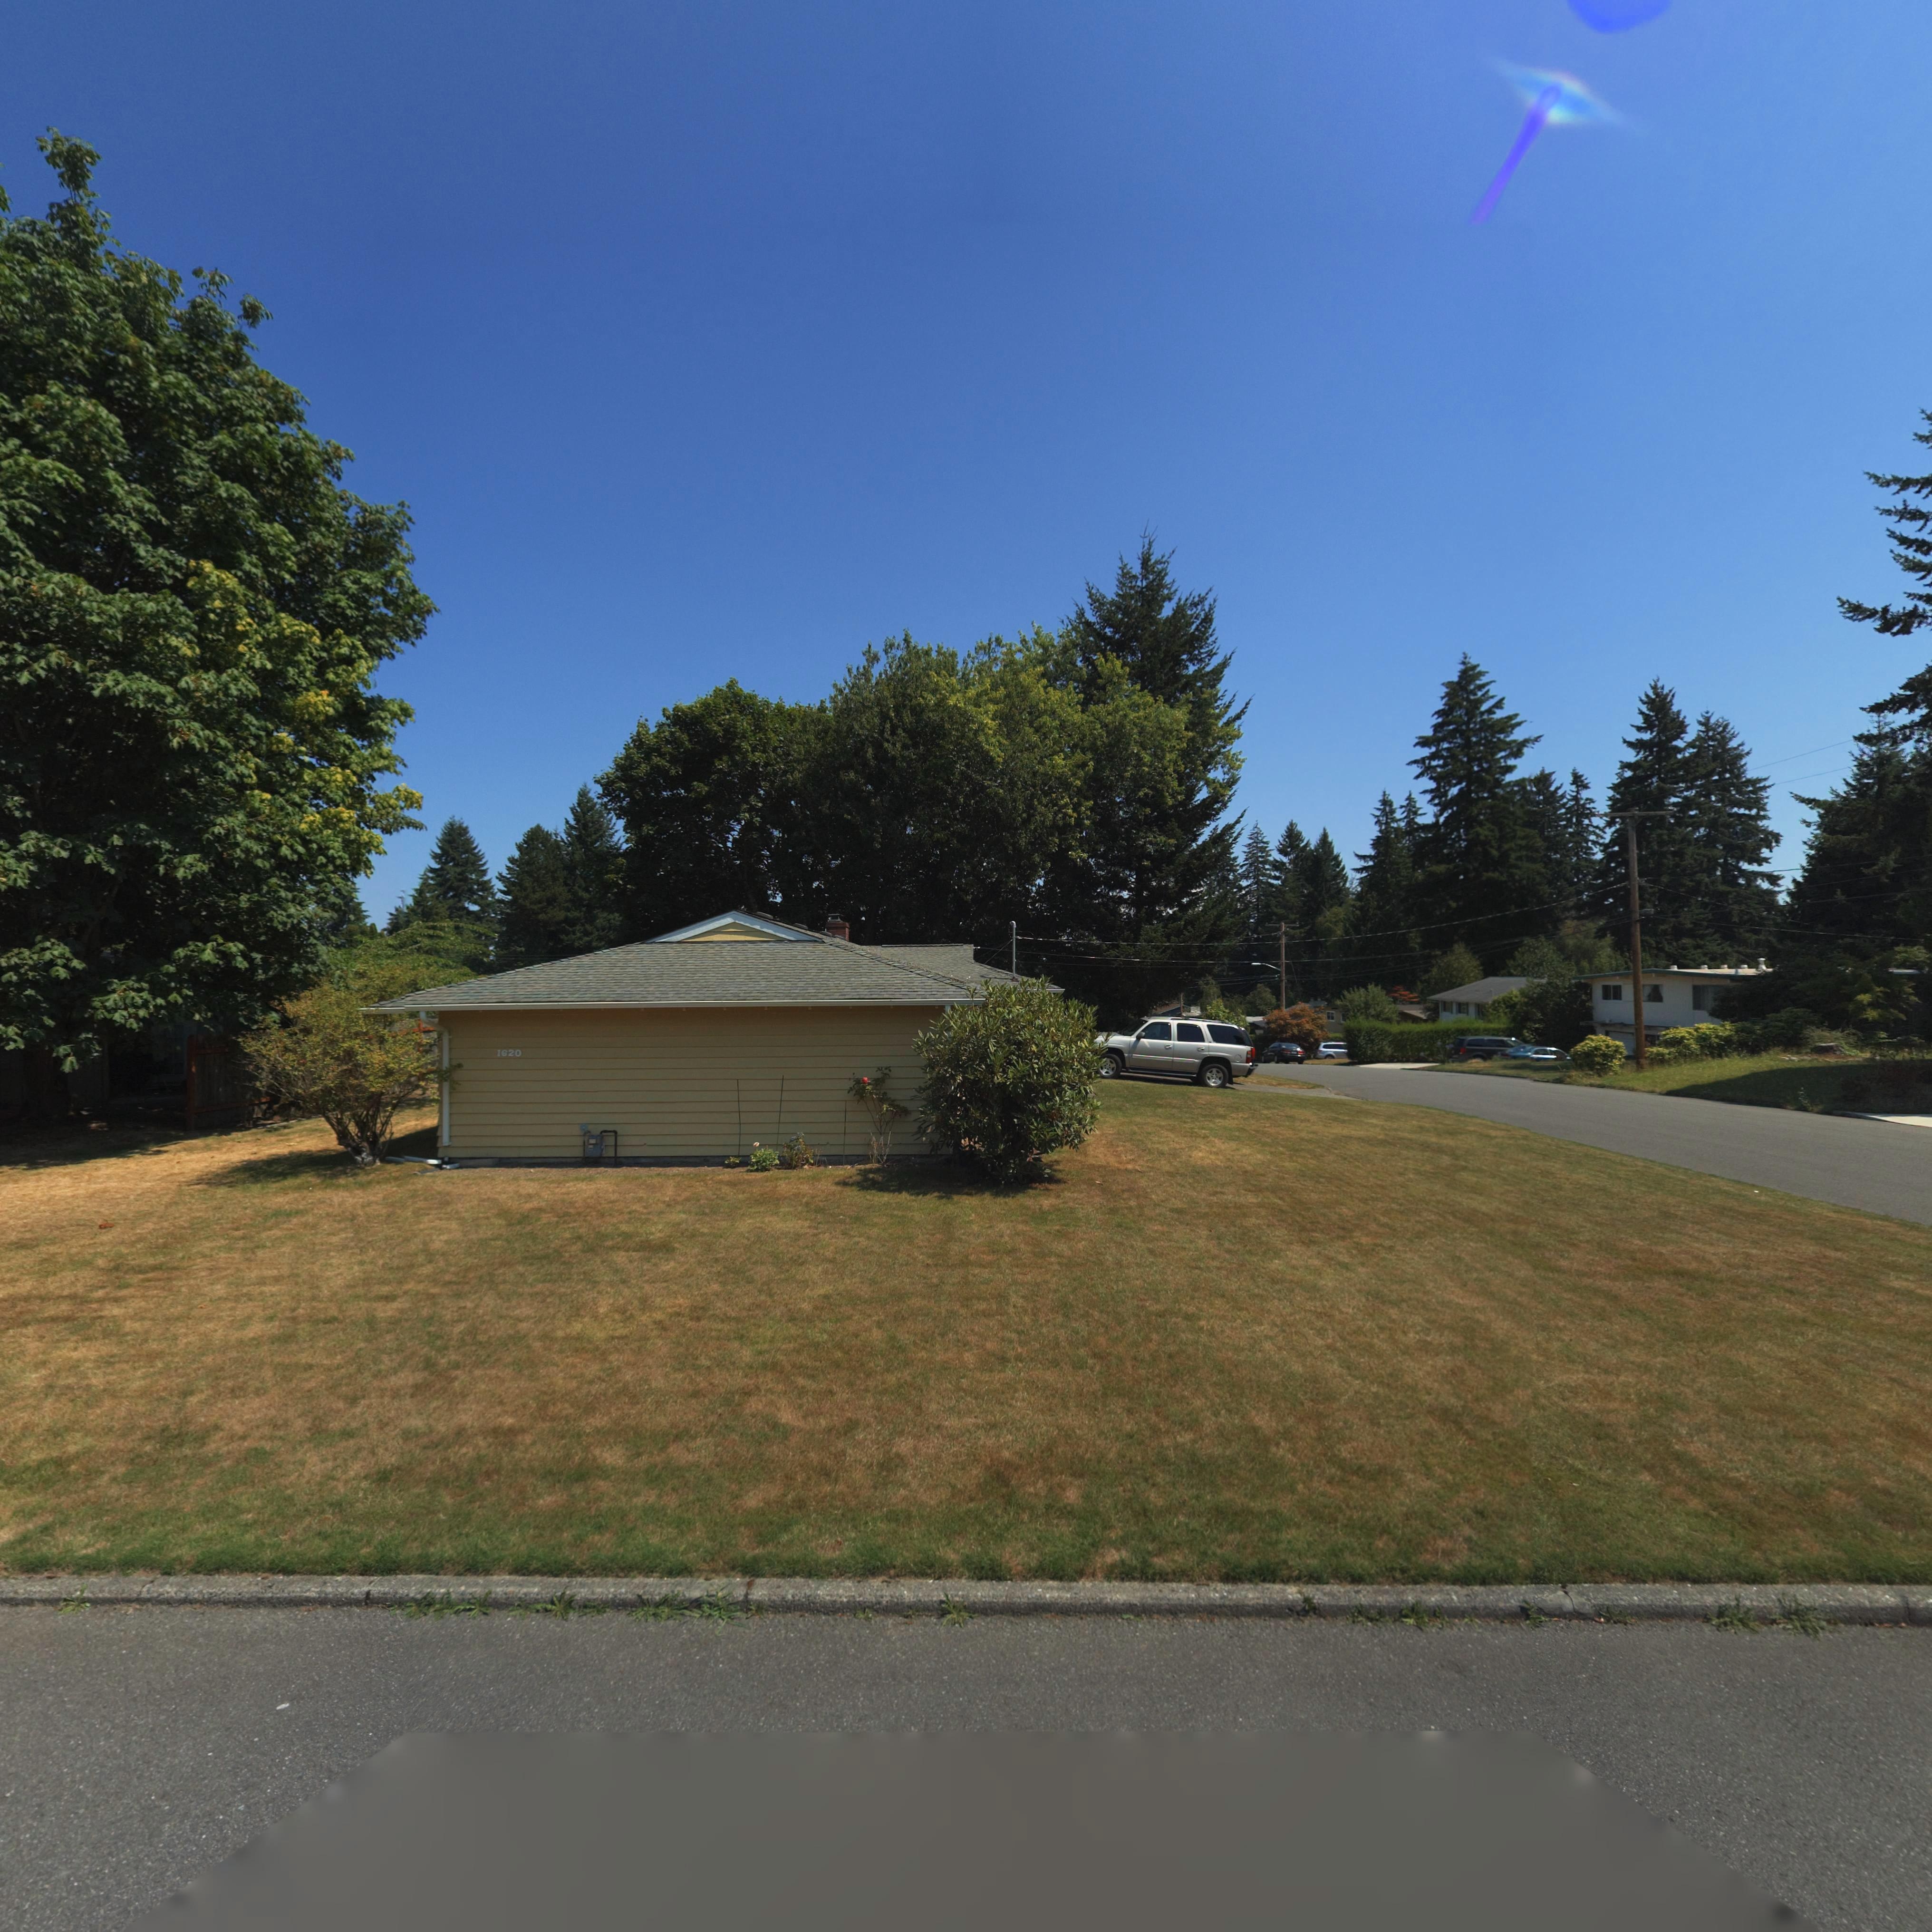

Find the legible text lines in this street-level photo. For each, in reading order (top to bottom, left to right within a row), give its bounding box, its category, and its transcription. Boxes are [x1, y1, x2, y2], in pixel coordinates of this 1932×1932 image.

[497, 1048, 522, 1057] StreetNumber: 1620